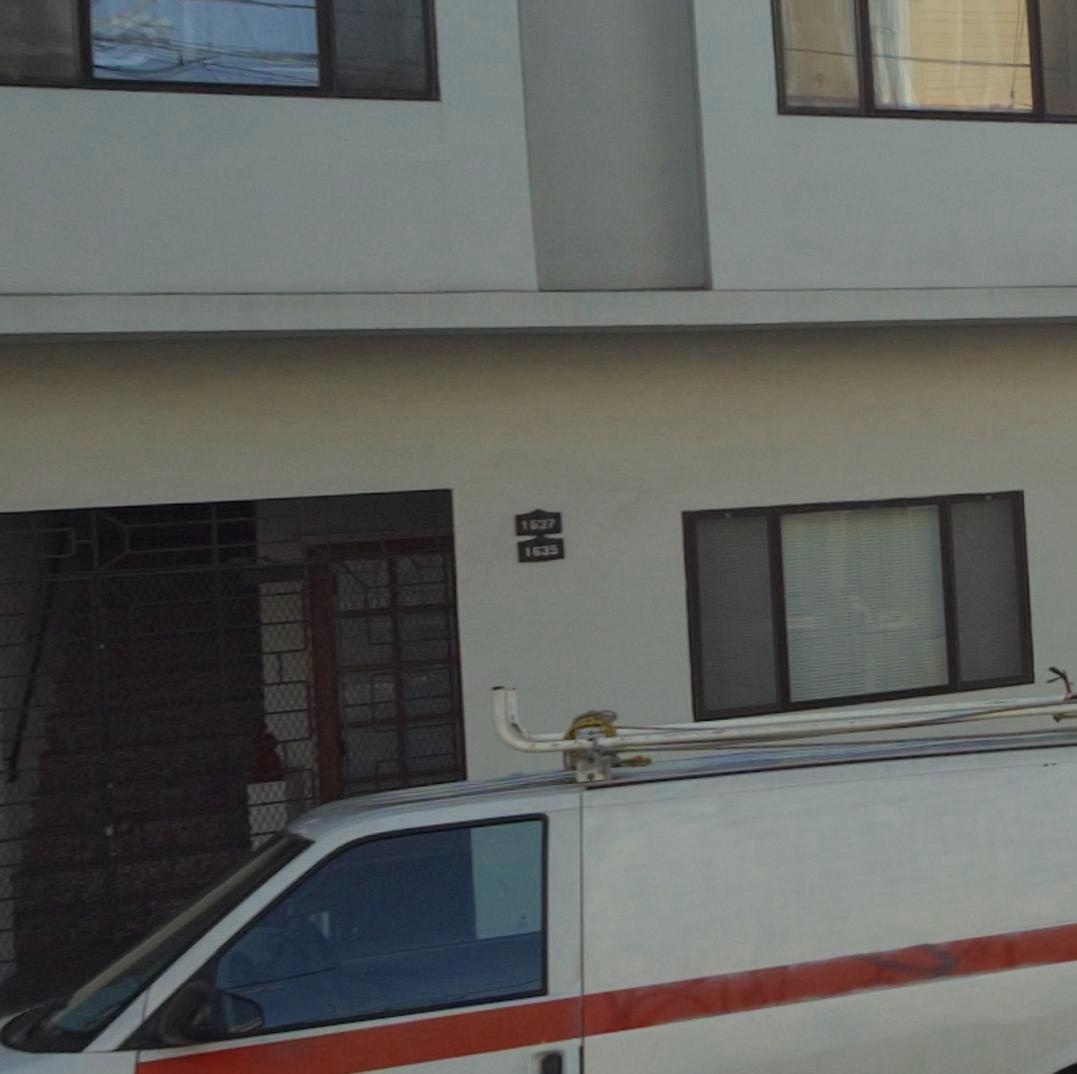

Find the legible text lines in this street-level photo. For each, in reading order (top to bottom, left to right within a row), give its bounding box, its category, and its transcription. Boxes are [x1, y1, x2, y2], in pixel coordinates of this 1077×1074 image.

[520, 515, 558, 533] StreetNumber: 1637
[521, 542, 560, 560] StreetNumber: 1635